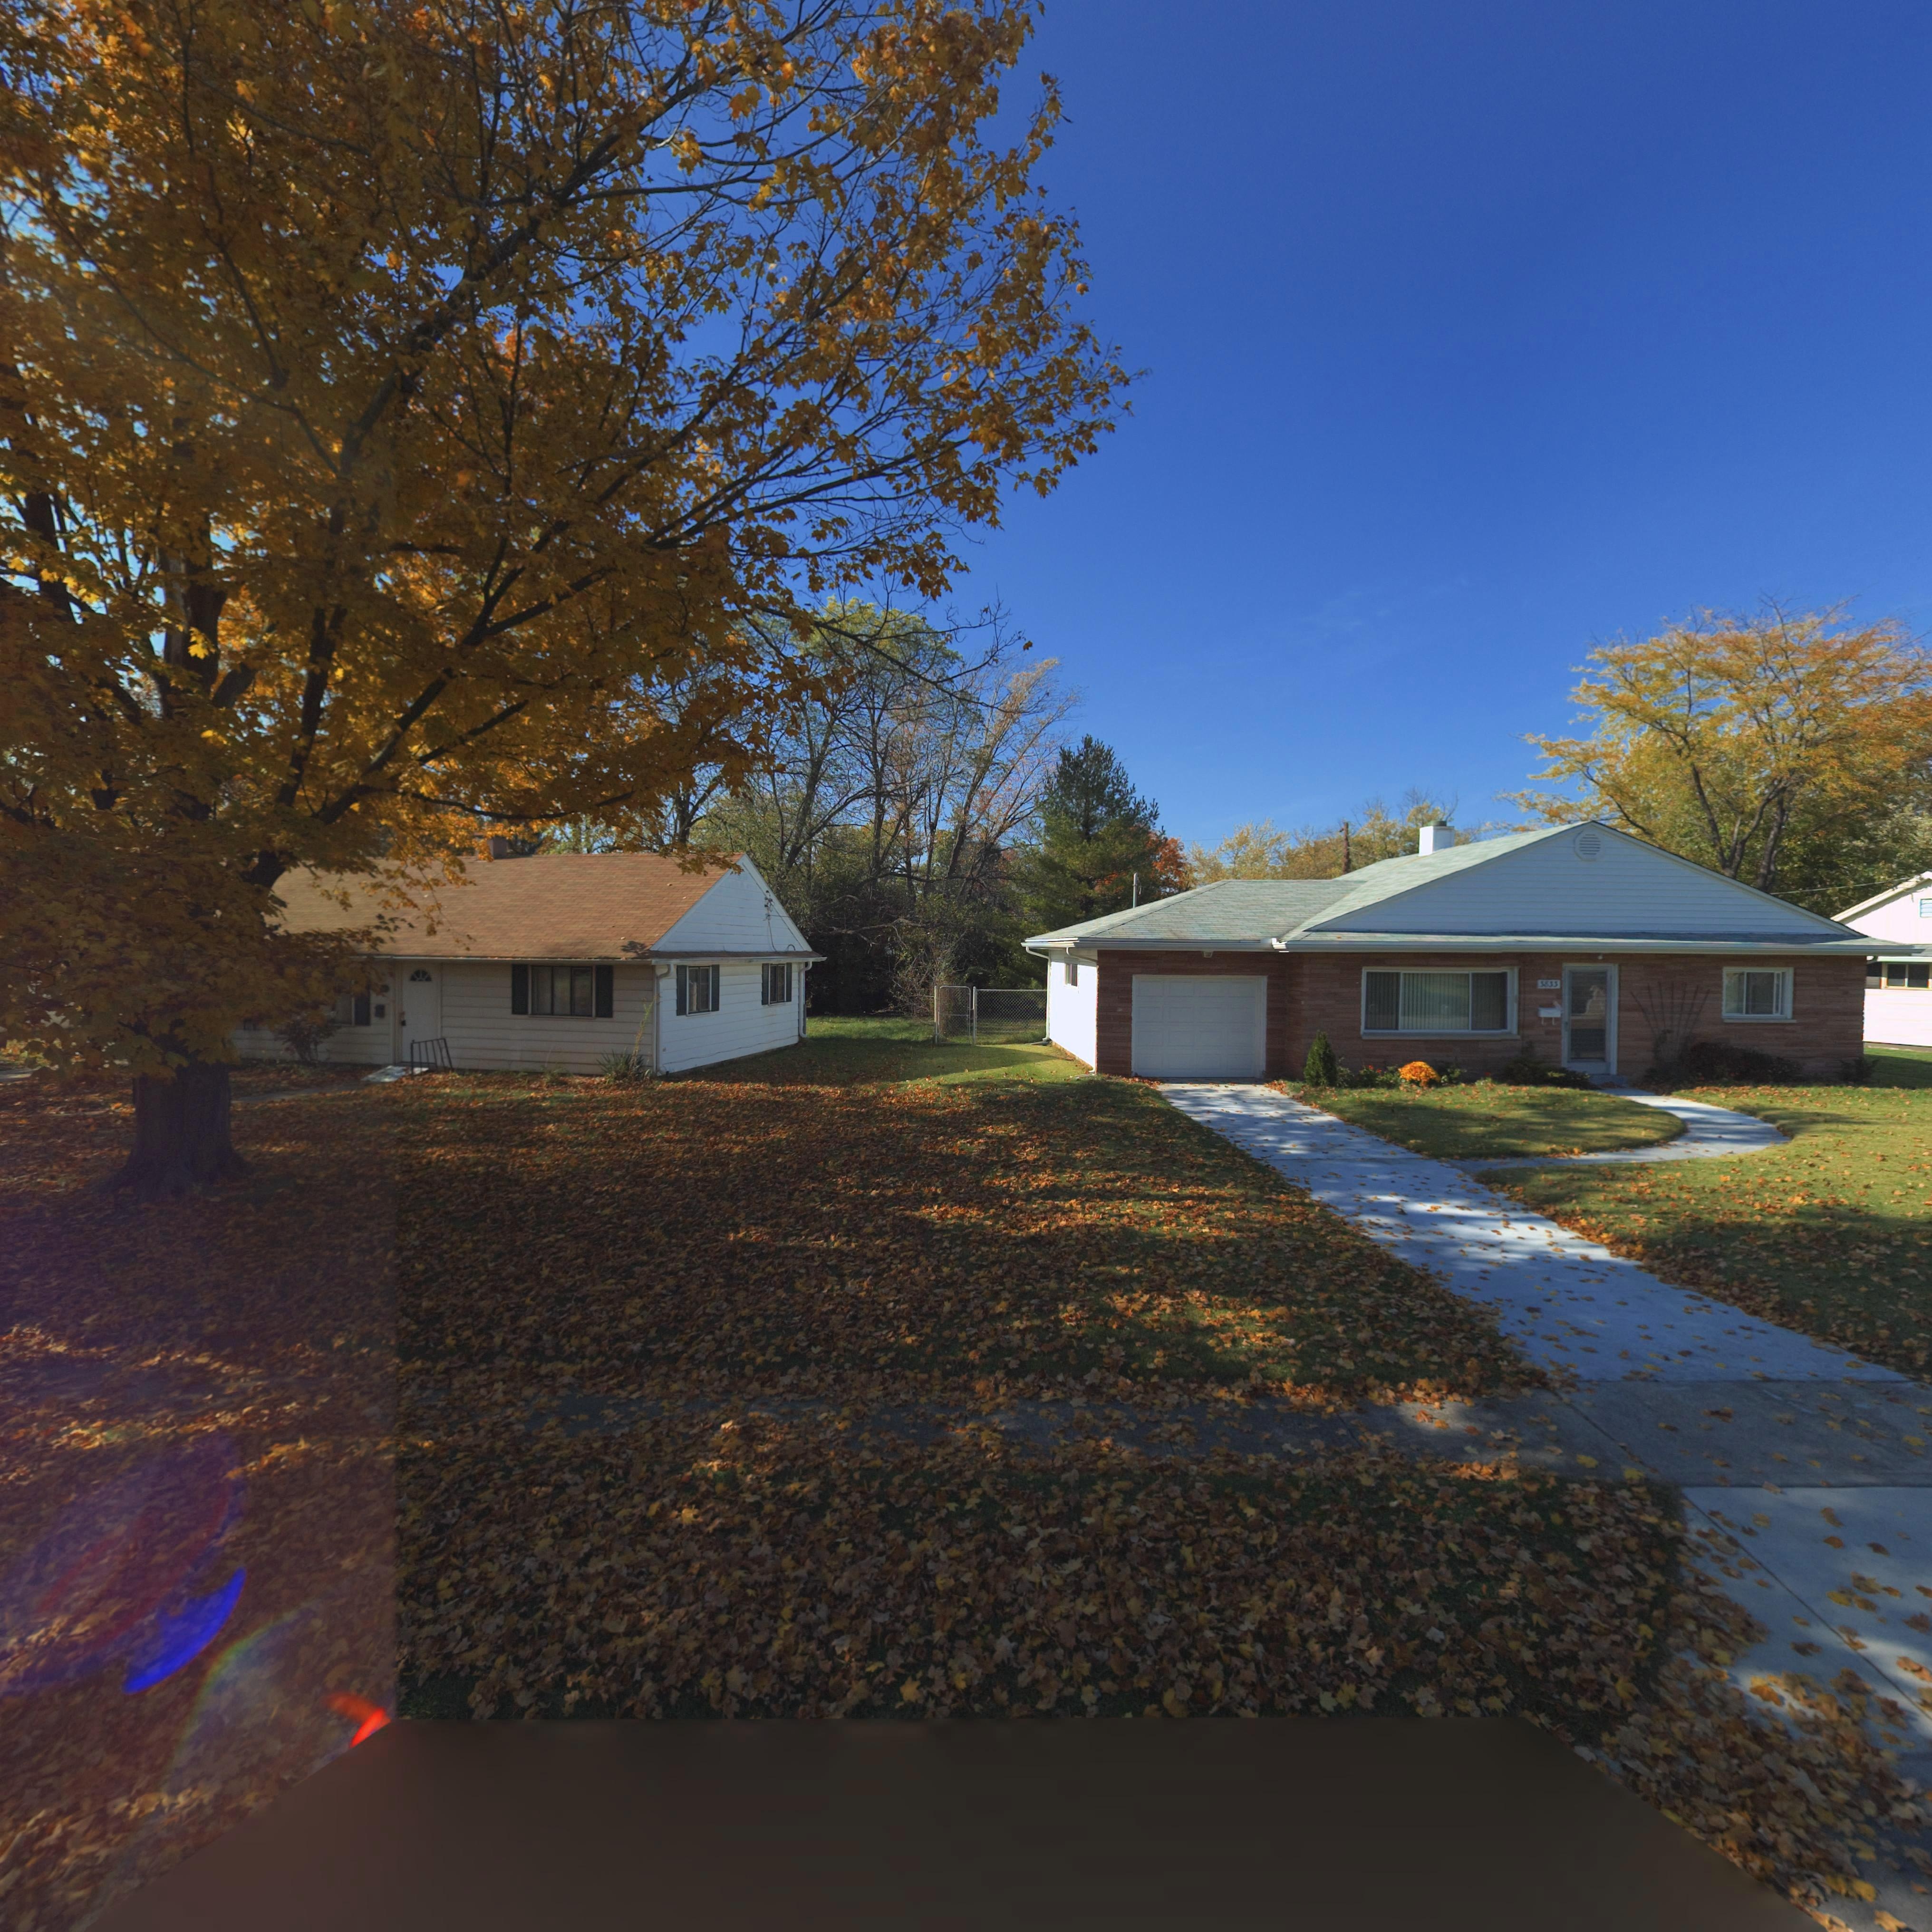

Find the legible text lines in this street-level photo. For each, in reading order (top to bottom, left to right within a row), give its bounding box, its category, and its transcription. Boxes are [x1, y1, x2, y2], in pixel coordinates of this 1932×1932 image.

[1538, 980, 1559, 988] StreetNumber: 3833